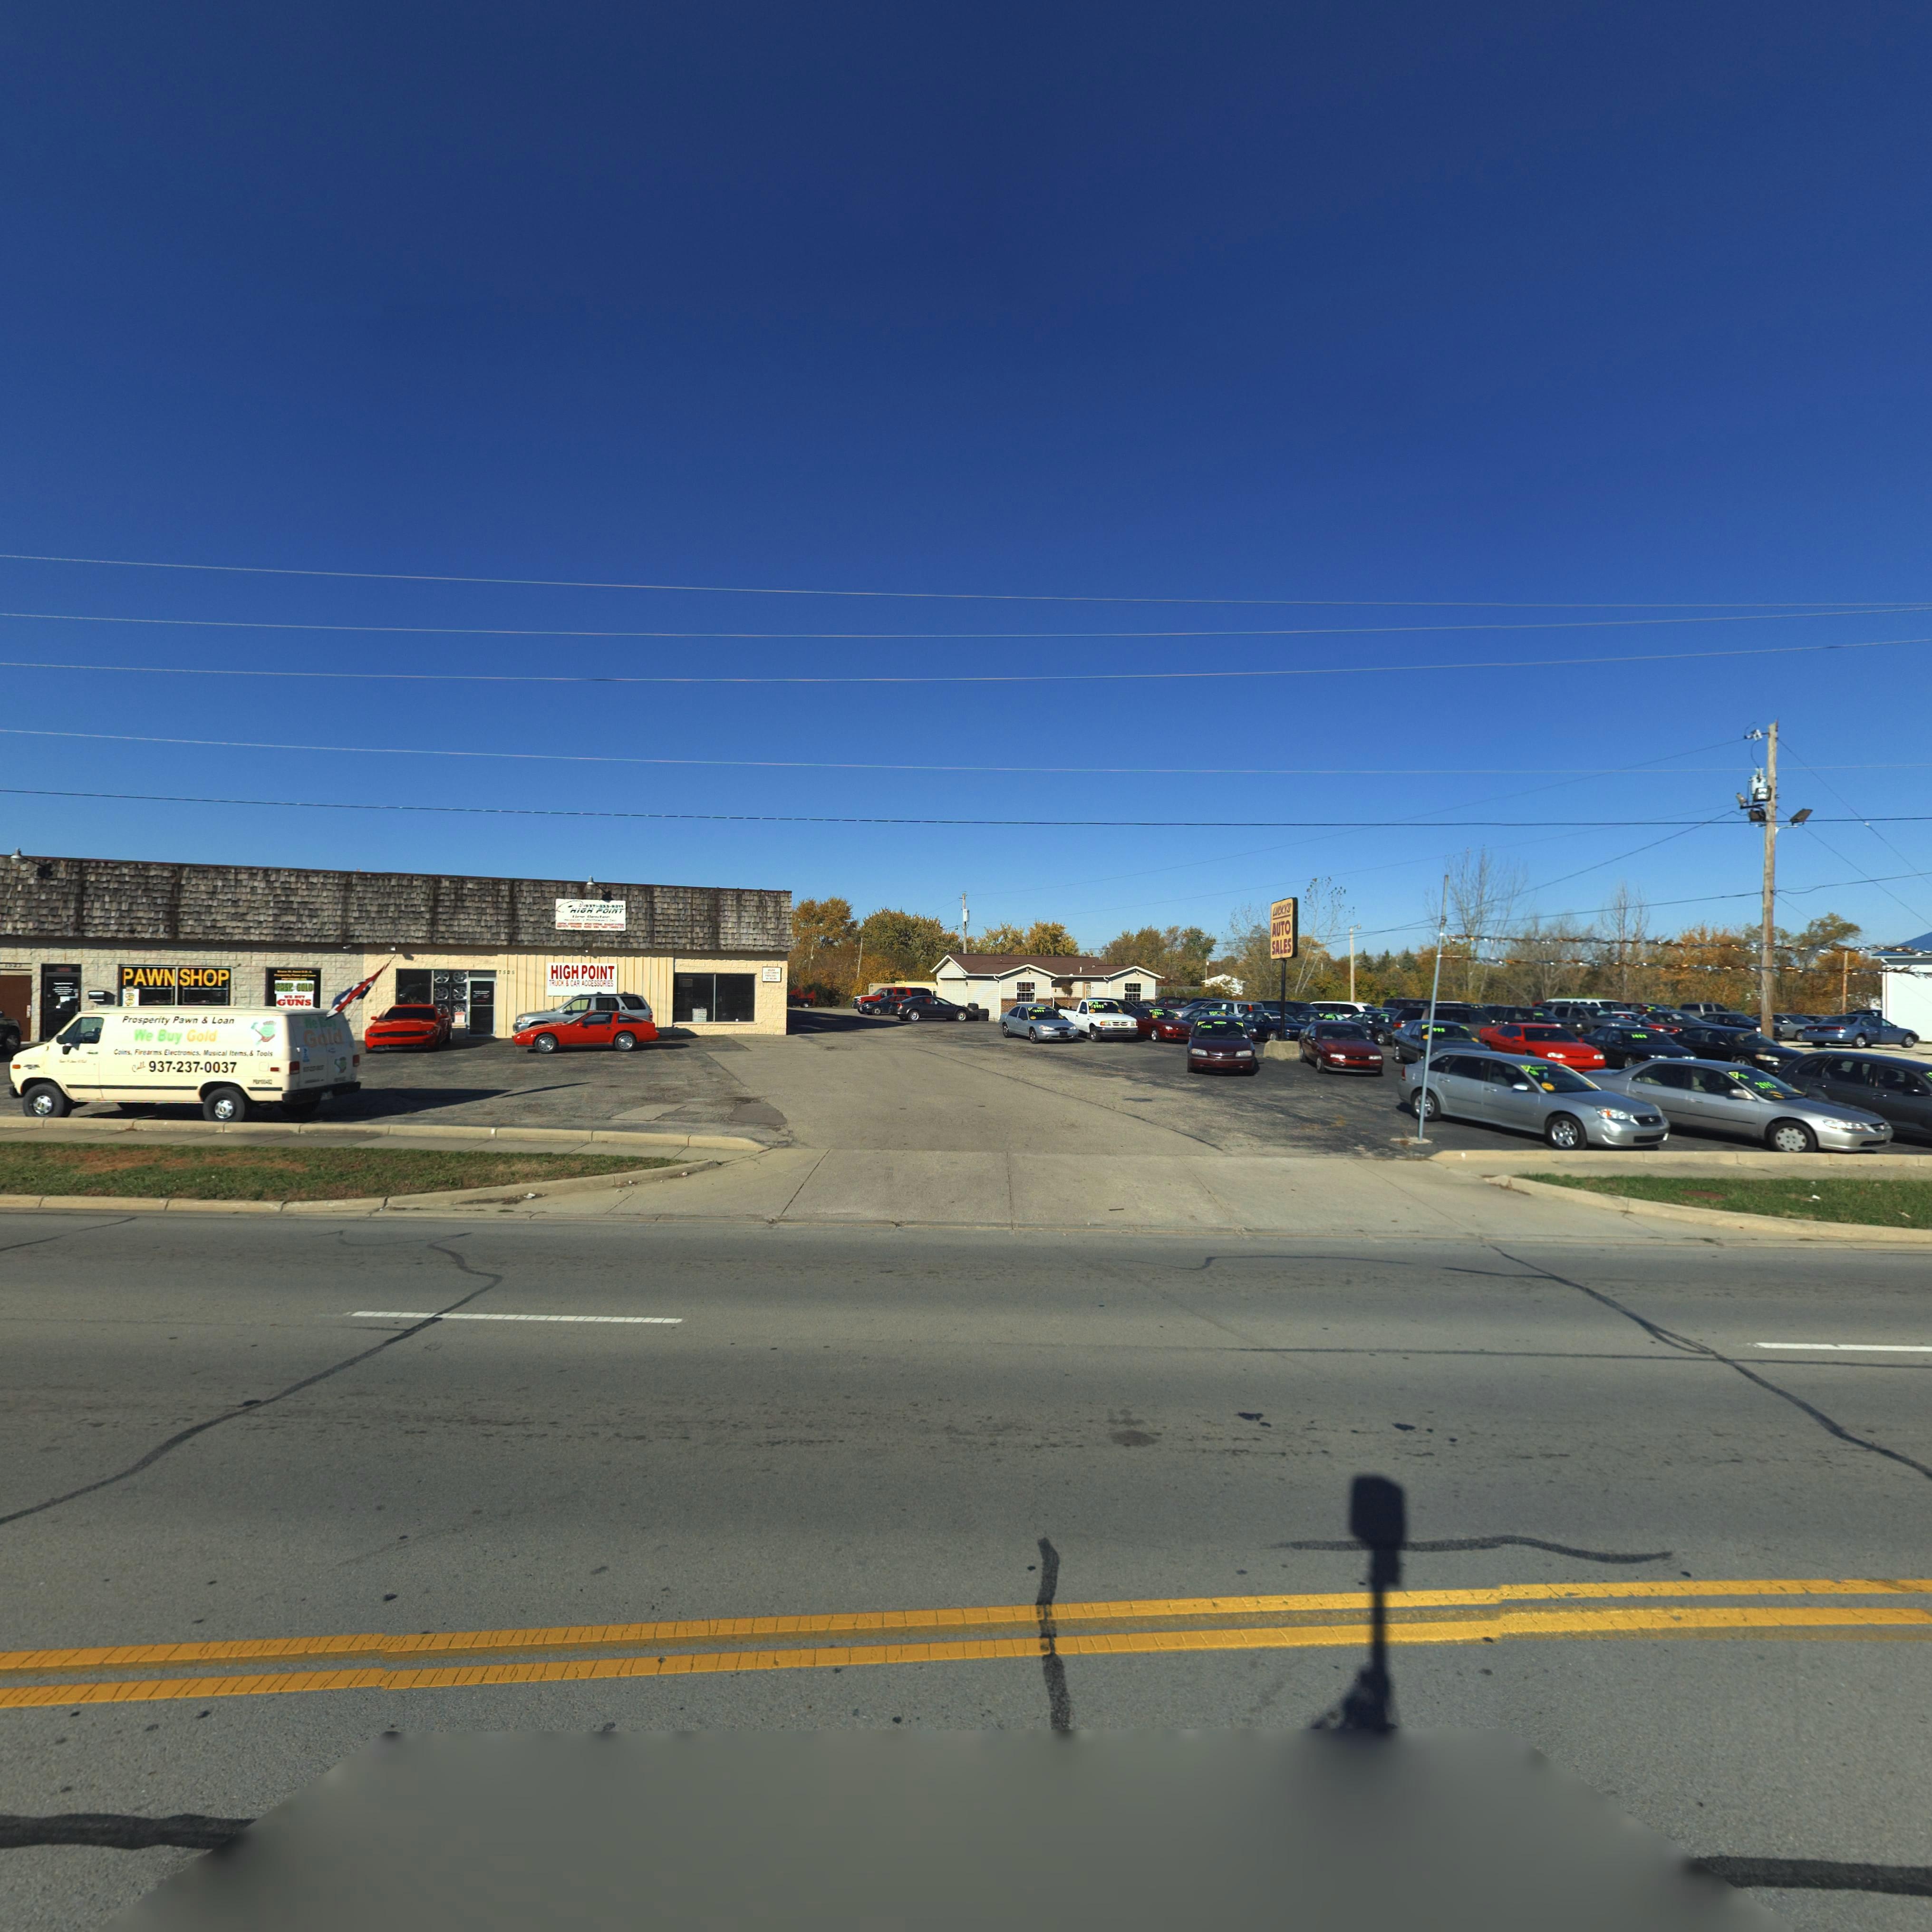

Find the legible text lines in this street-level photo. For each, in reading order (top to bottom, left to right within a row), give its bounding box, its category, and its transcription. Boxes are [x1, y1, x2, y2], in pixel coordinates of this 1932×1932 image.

[569, 908, 626, 914] BusinessName: HIGH POINT
[1272, 901, 1292, 918] BusinessName: LUCKY'S
[1272, 919, 1292, 938] BusinessName: AUTO
[1271, 937, 1292, 956] BusinessName: SALES
[497, 969, 516, 976] StreetNumber: 75**
[551, 965, 615, 980] BusinessName: HIGH POINT
[275, 982, 314, 993] None: CASH4GOLD